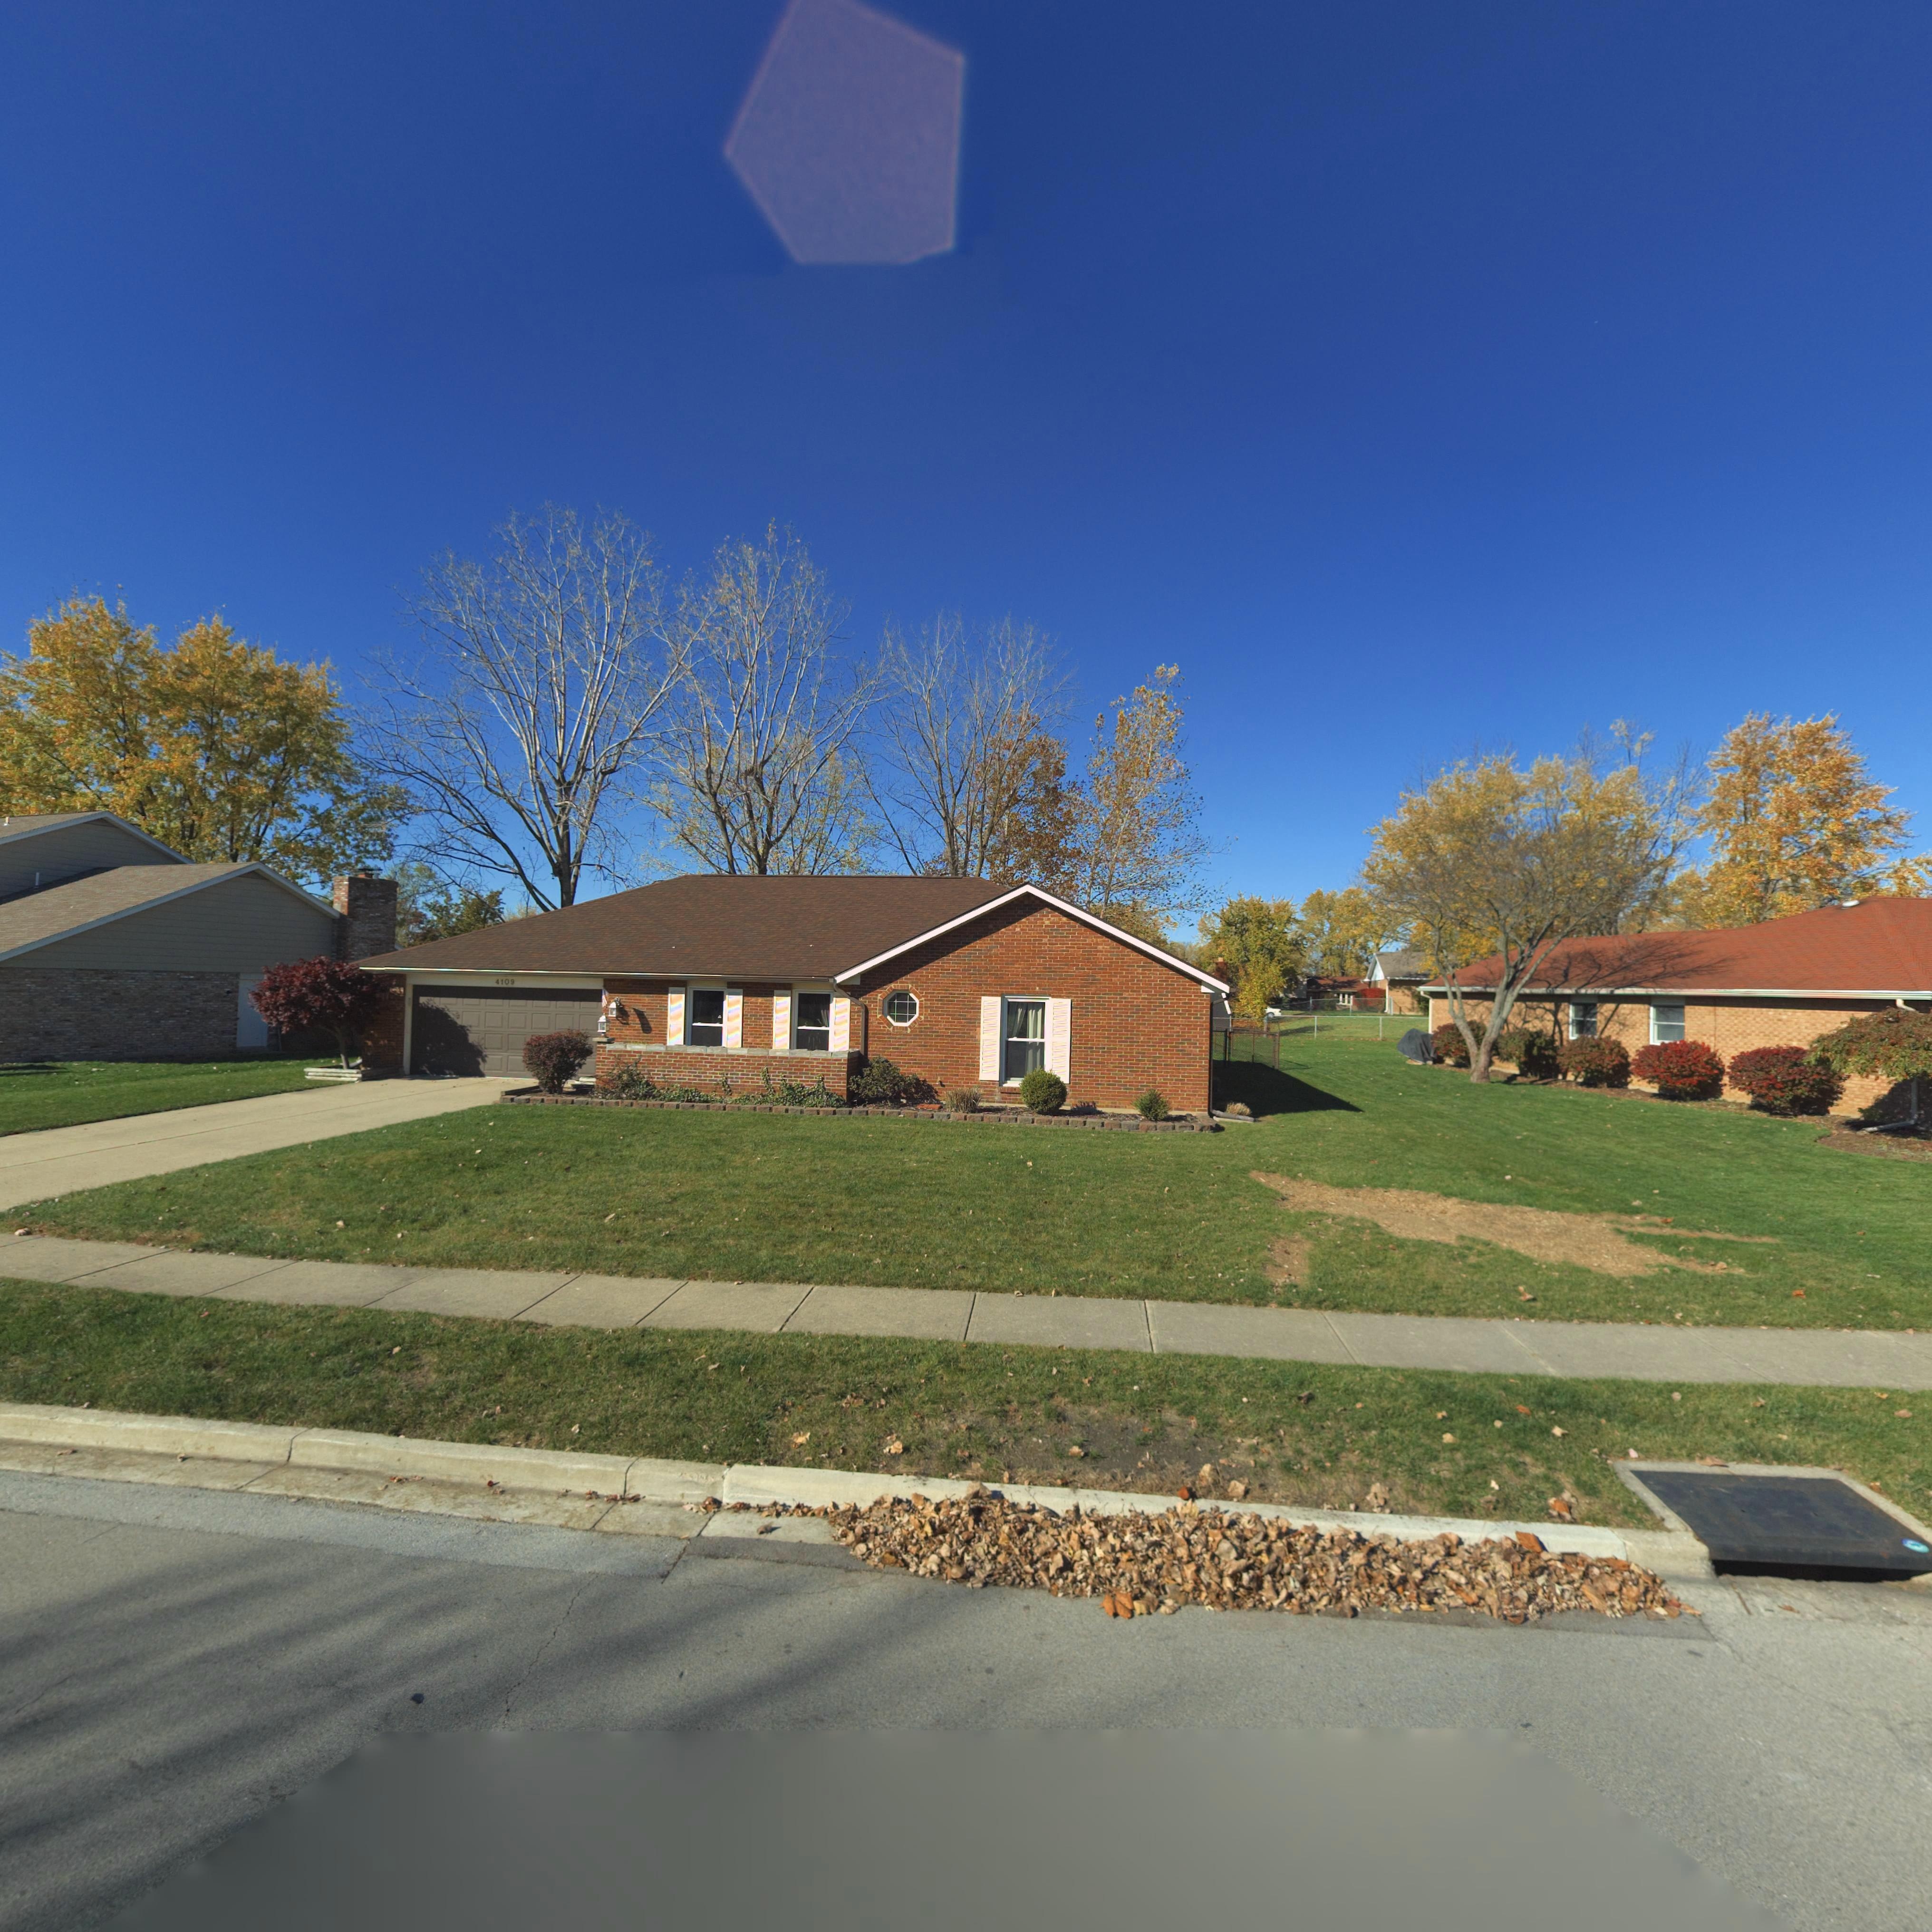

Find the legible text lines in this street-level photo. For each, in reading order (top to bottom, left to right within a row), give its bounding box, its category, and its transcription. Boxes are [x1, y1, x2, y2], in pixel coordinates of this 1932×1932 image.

[494, 978, 515, 985] StreetNumber: 4109